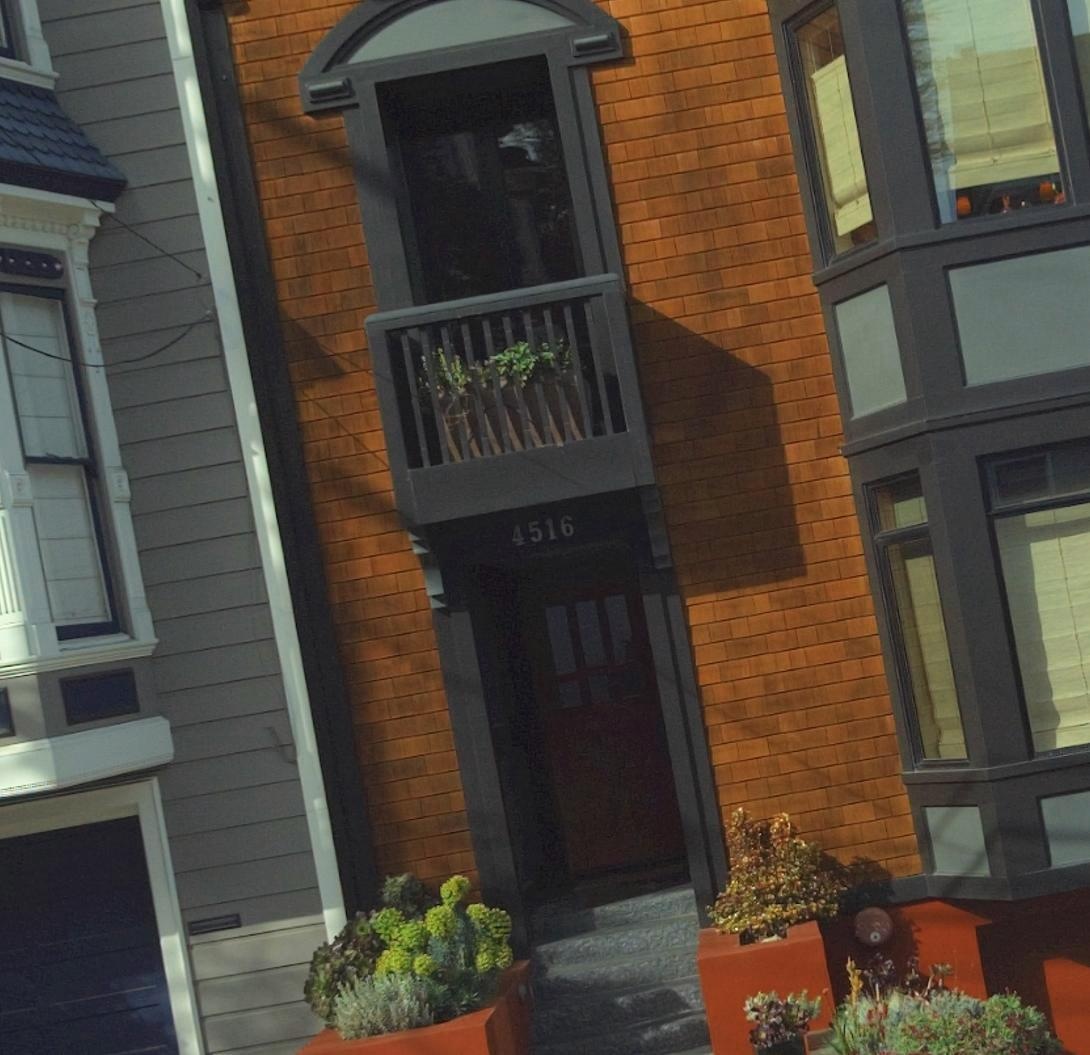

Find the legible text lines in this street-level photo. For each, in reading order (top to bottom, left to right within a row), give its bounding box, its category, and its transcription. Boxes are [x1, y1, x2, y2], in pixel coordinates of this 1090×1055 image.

[509, 513, 577, 548] StreetNumber: 4516